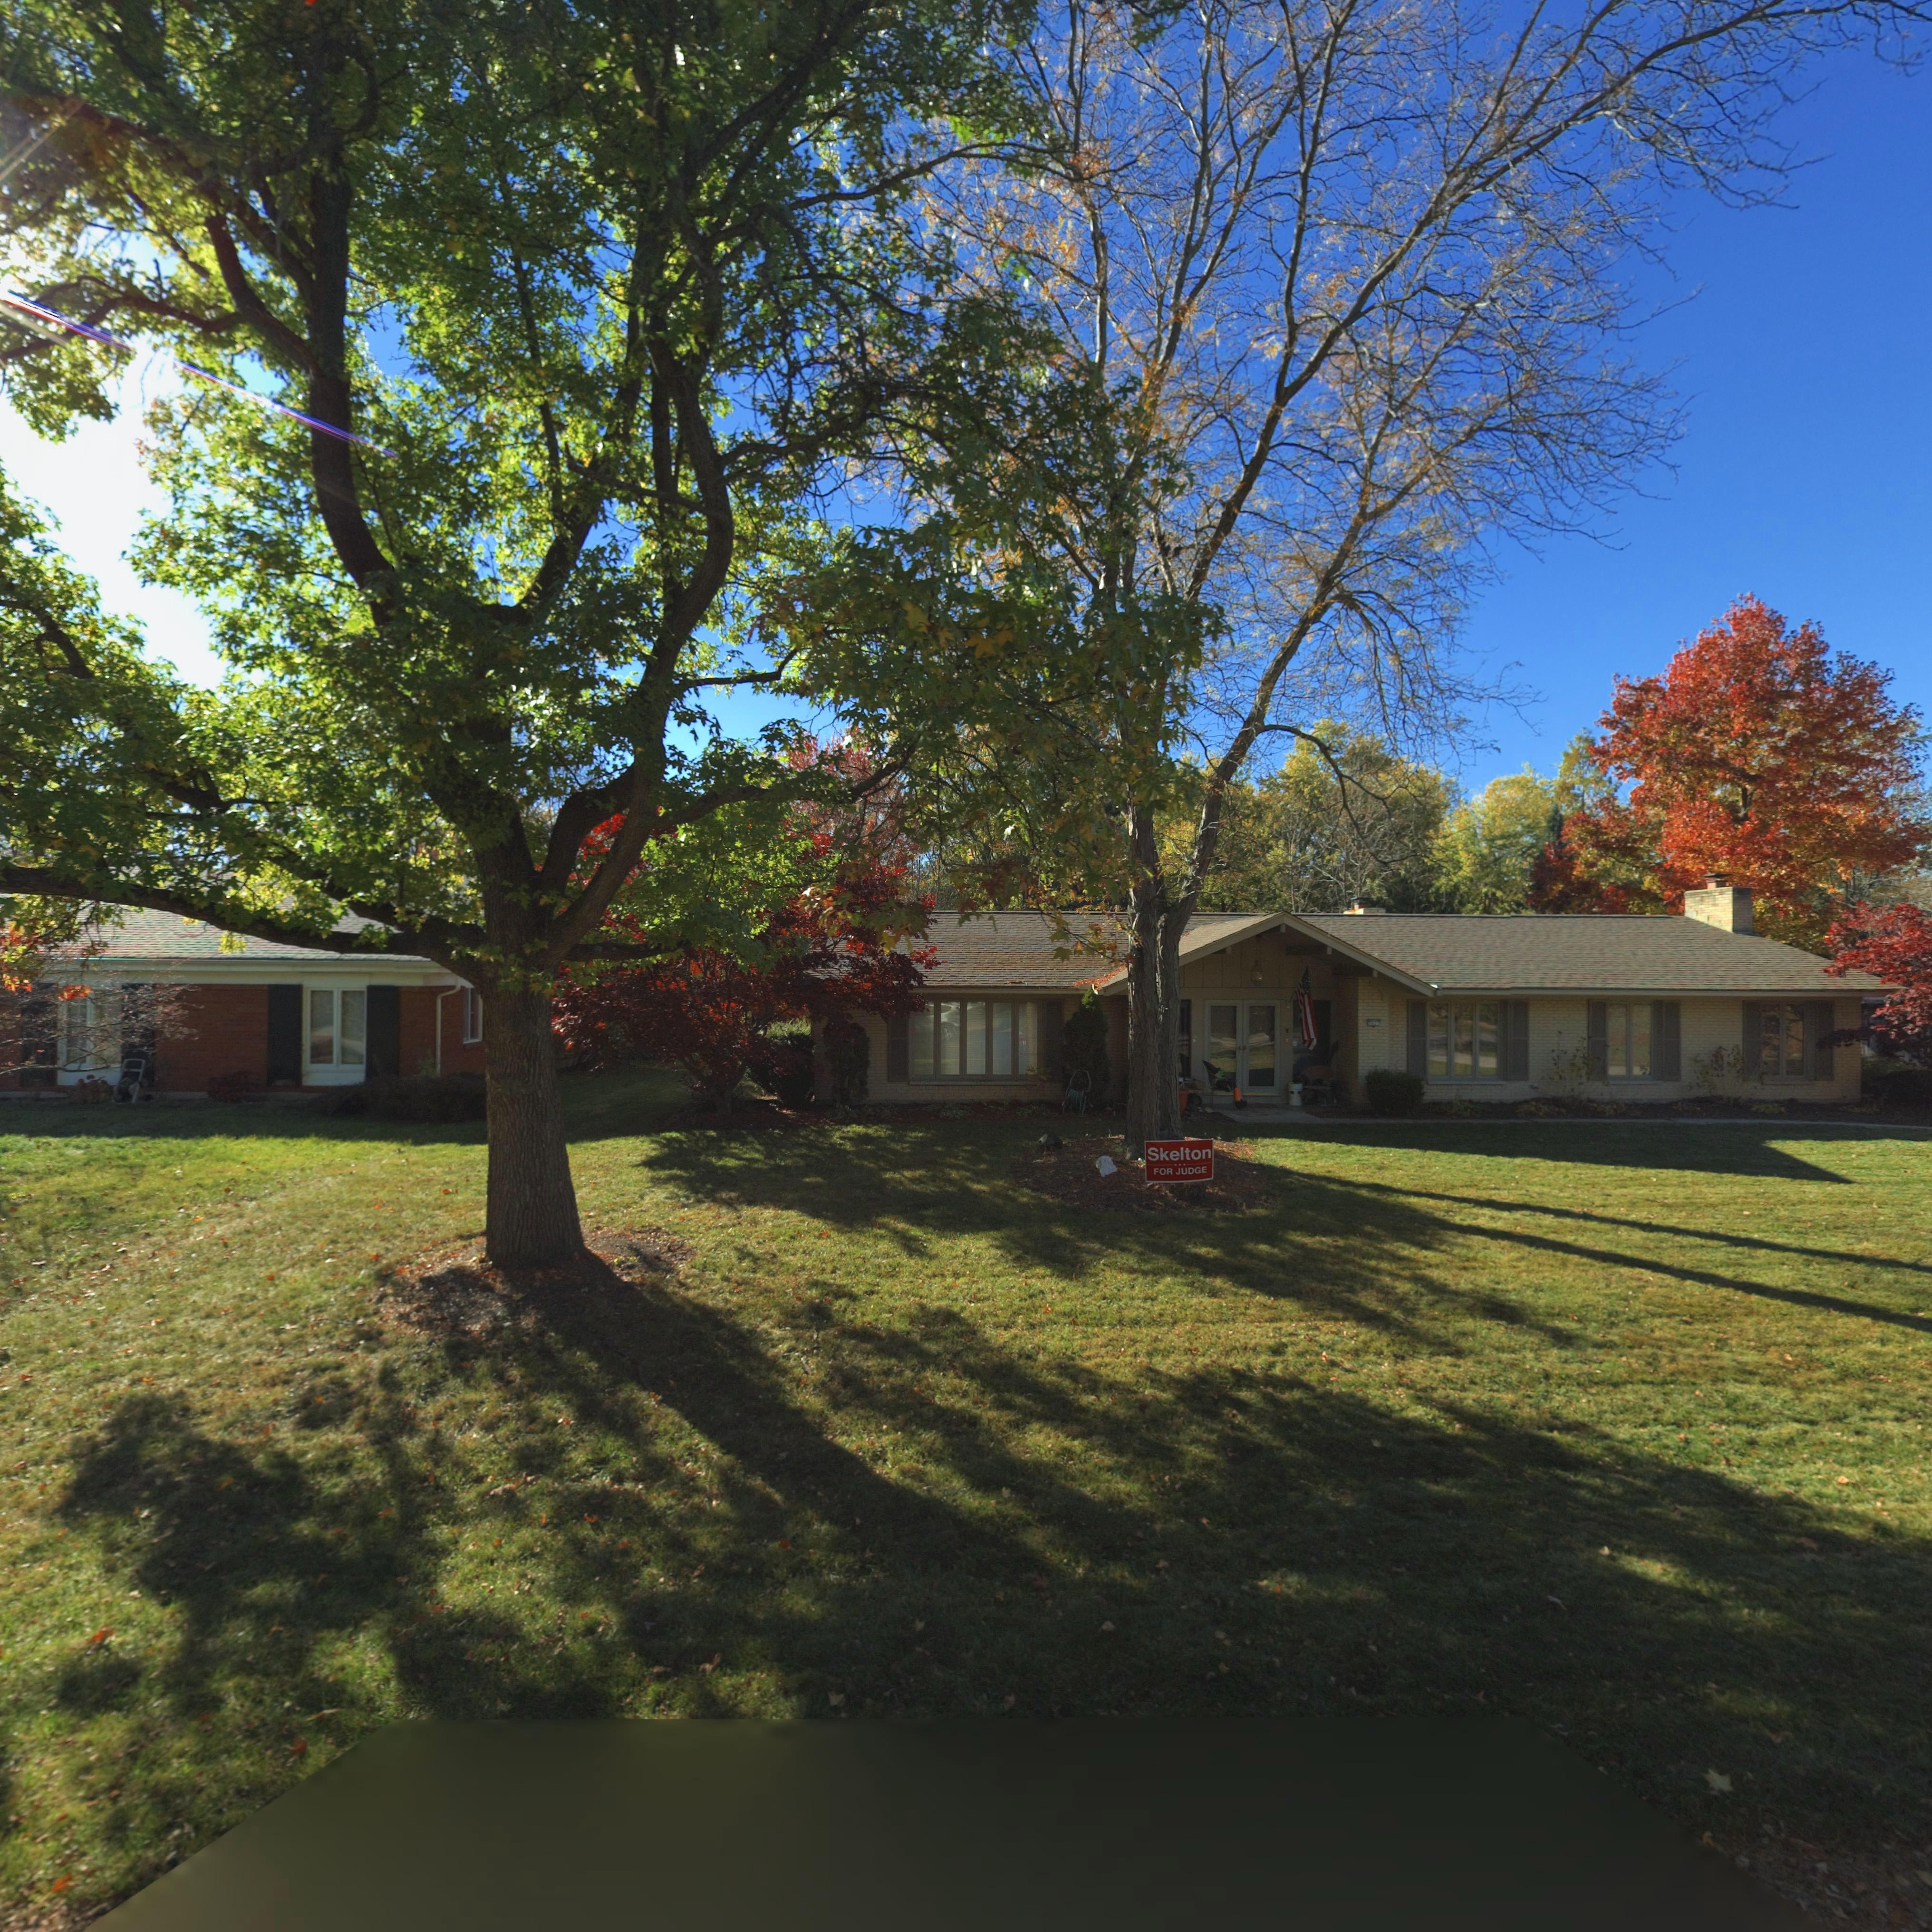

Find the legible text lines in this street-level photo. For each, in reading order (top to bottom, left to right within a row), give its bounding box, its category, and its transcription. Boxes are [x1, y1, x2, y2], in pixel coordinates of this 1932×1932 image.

[1368, 1021, 1379, 1025] StreetNumber: 5627
[1146, 1146, 1212, 1162] None: Skelton
[1153, 1166, 1207, 1176] None: FOR JUDGE